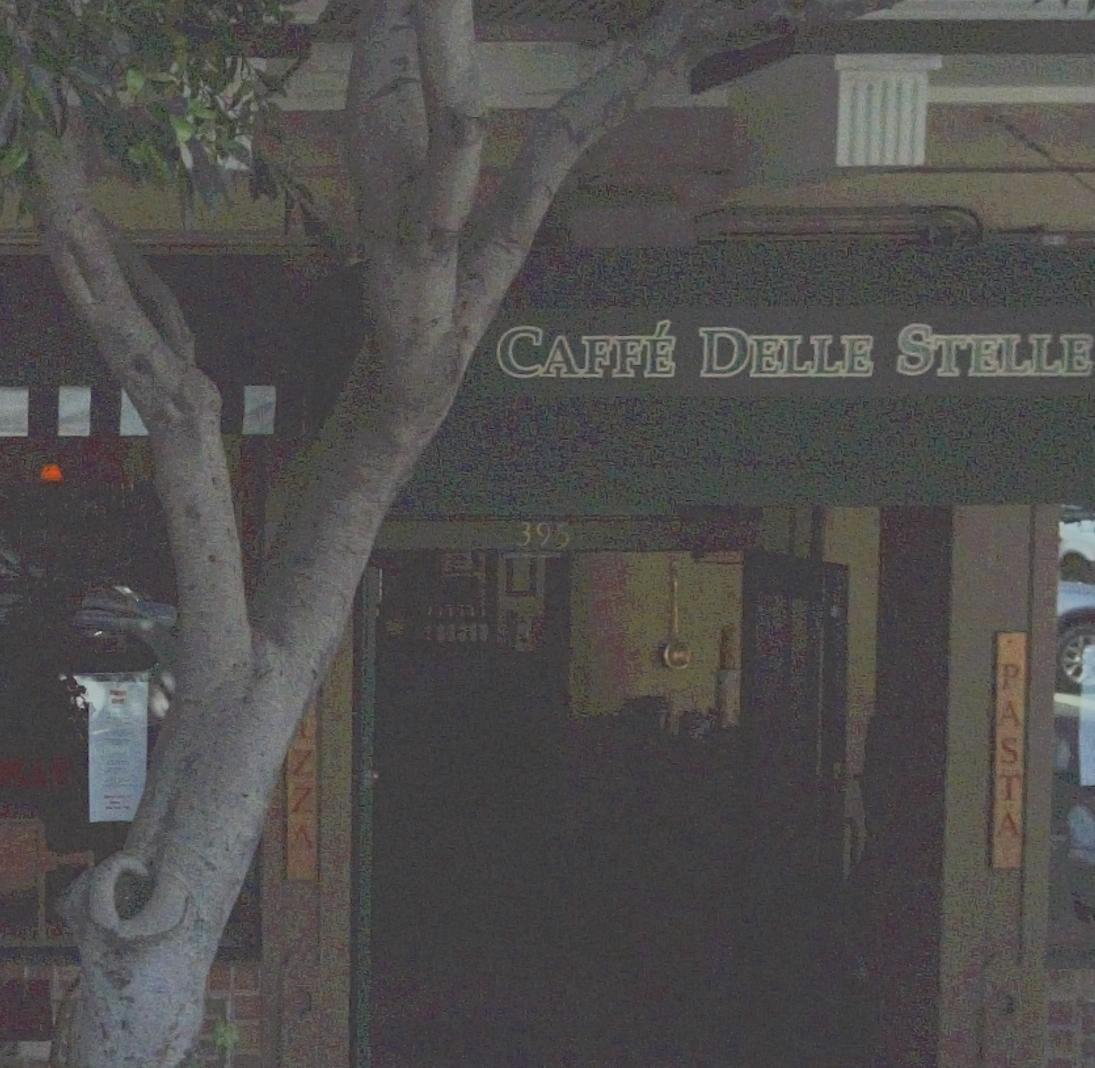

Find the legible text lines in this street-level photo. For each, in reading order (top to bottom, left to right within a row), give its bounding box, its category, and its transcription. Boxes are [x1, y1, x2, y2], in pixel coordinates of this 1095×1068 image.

[484, 317, 1095, 380] BusinessName: CAFF* DELLE STELLE
[517, 521, 573, 551] StreetNumber: 395
[289, 748, 314, 854] None: ZZA
[996, 661, 1022, 839] None: PASTA